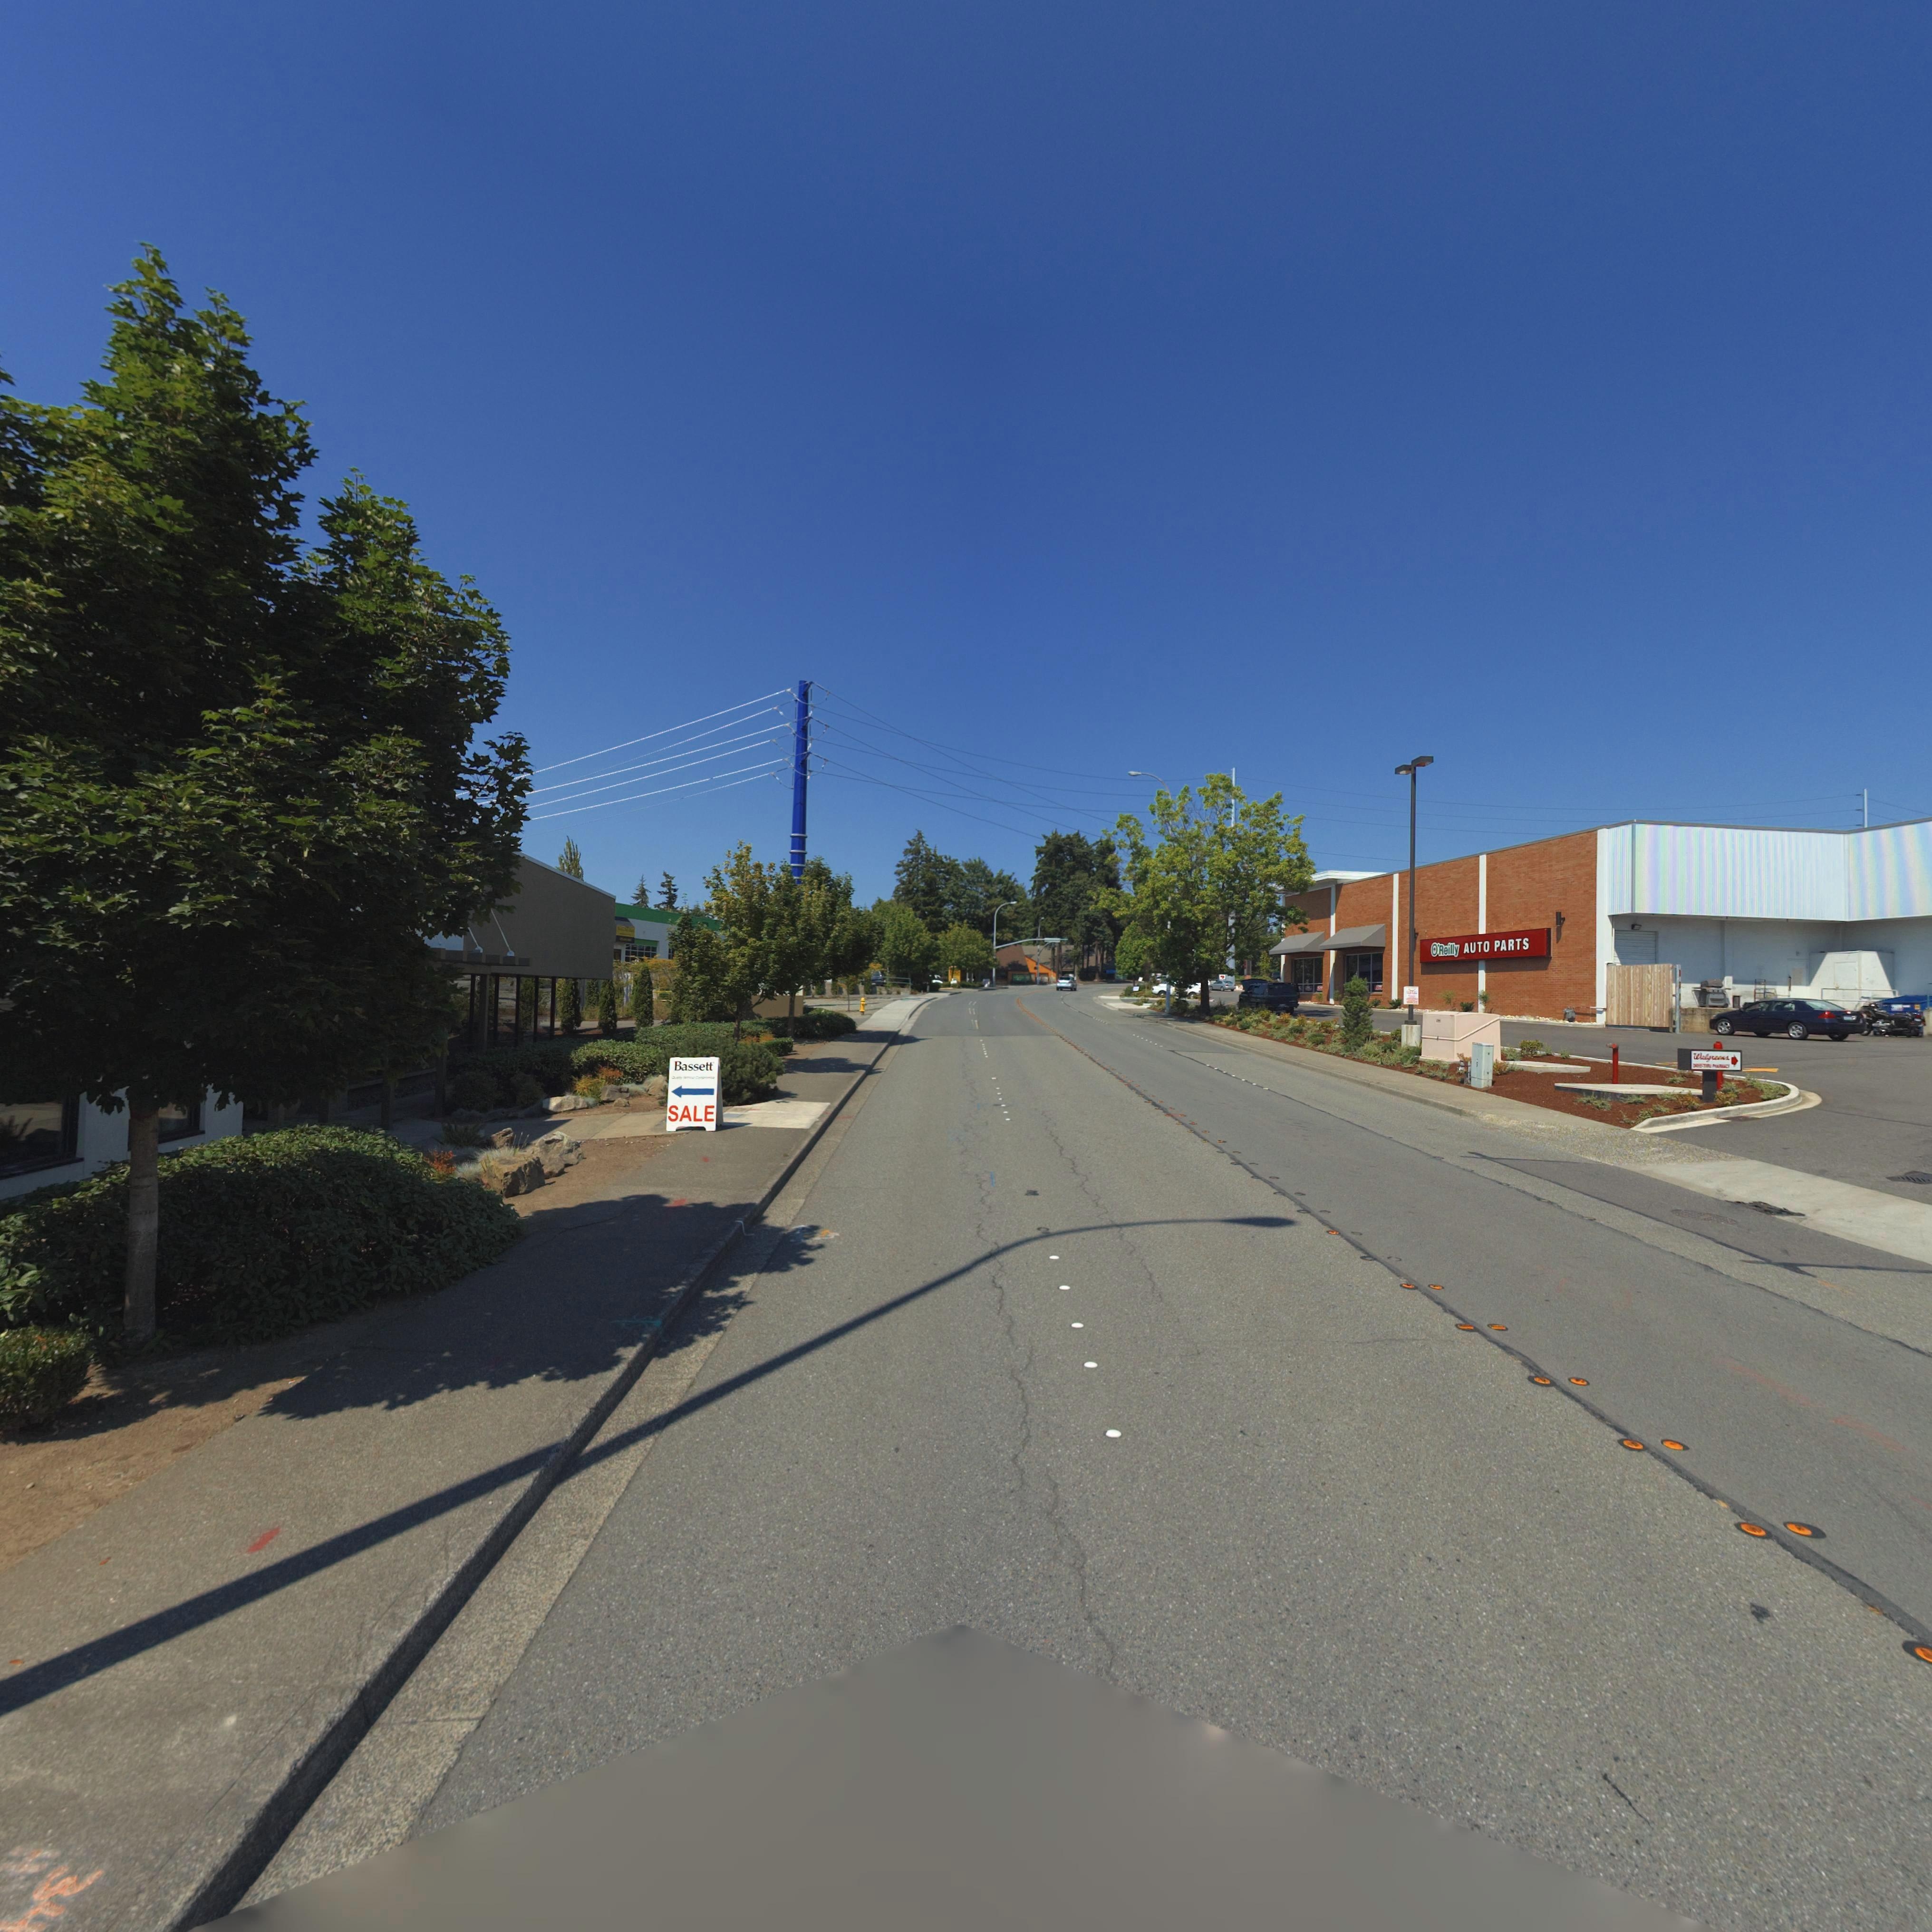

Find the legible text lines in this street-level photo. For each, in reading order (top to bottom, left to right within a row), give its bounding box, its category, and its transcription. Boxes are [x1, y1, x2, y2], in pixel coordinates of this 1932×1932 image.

[1430, 941, 1460, 957] BusinessName: *Reilly
[1462, 937, 1529, 954] BusinessName: AUTO PARTS
[675, 1062, 712, 1071] BusinessName: Bassett